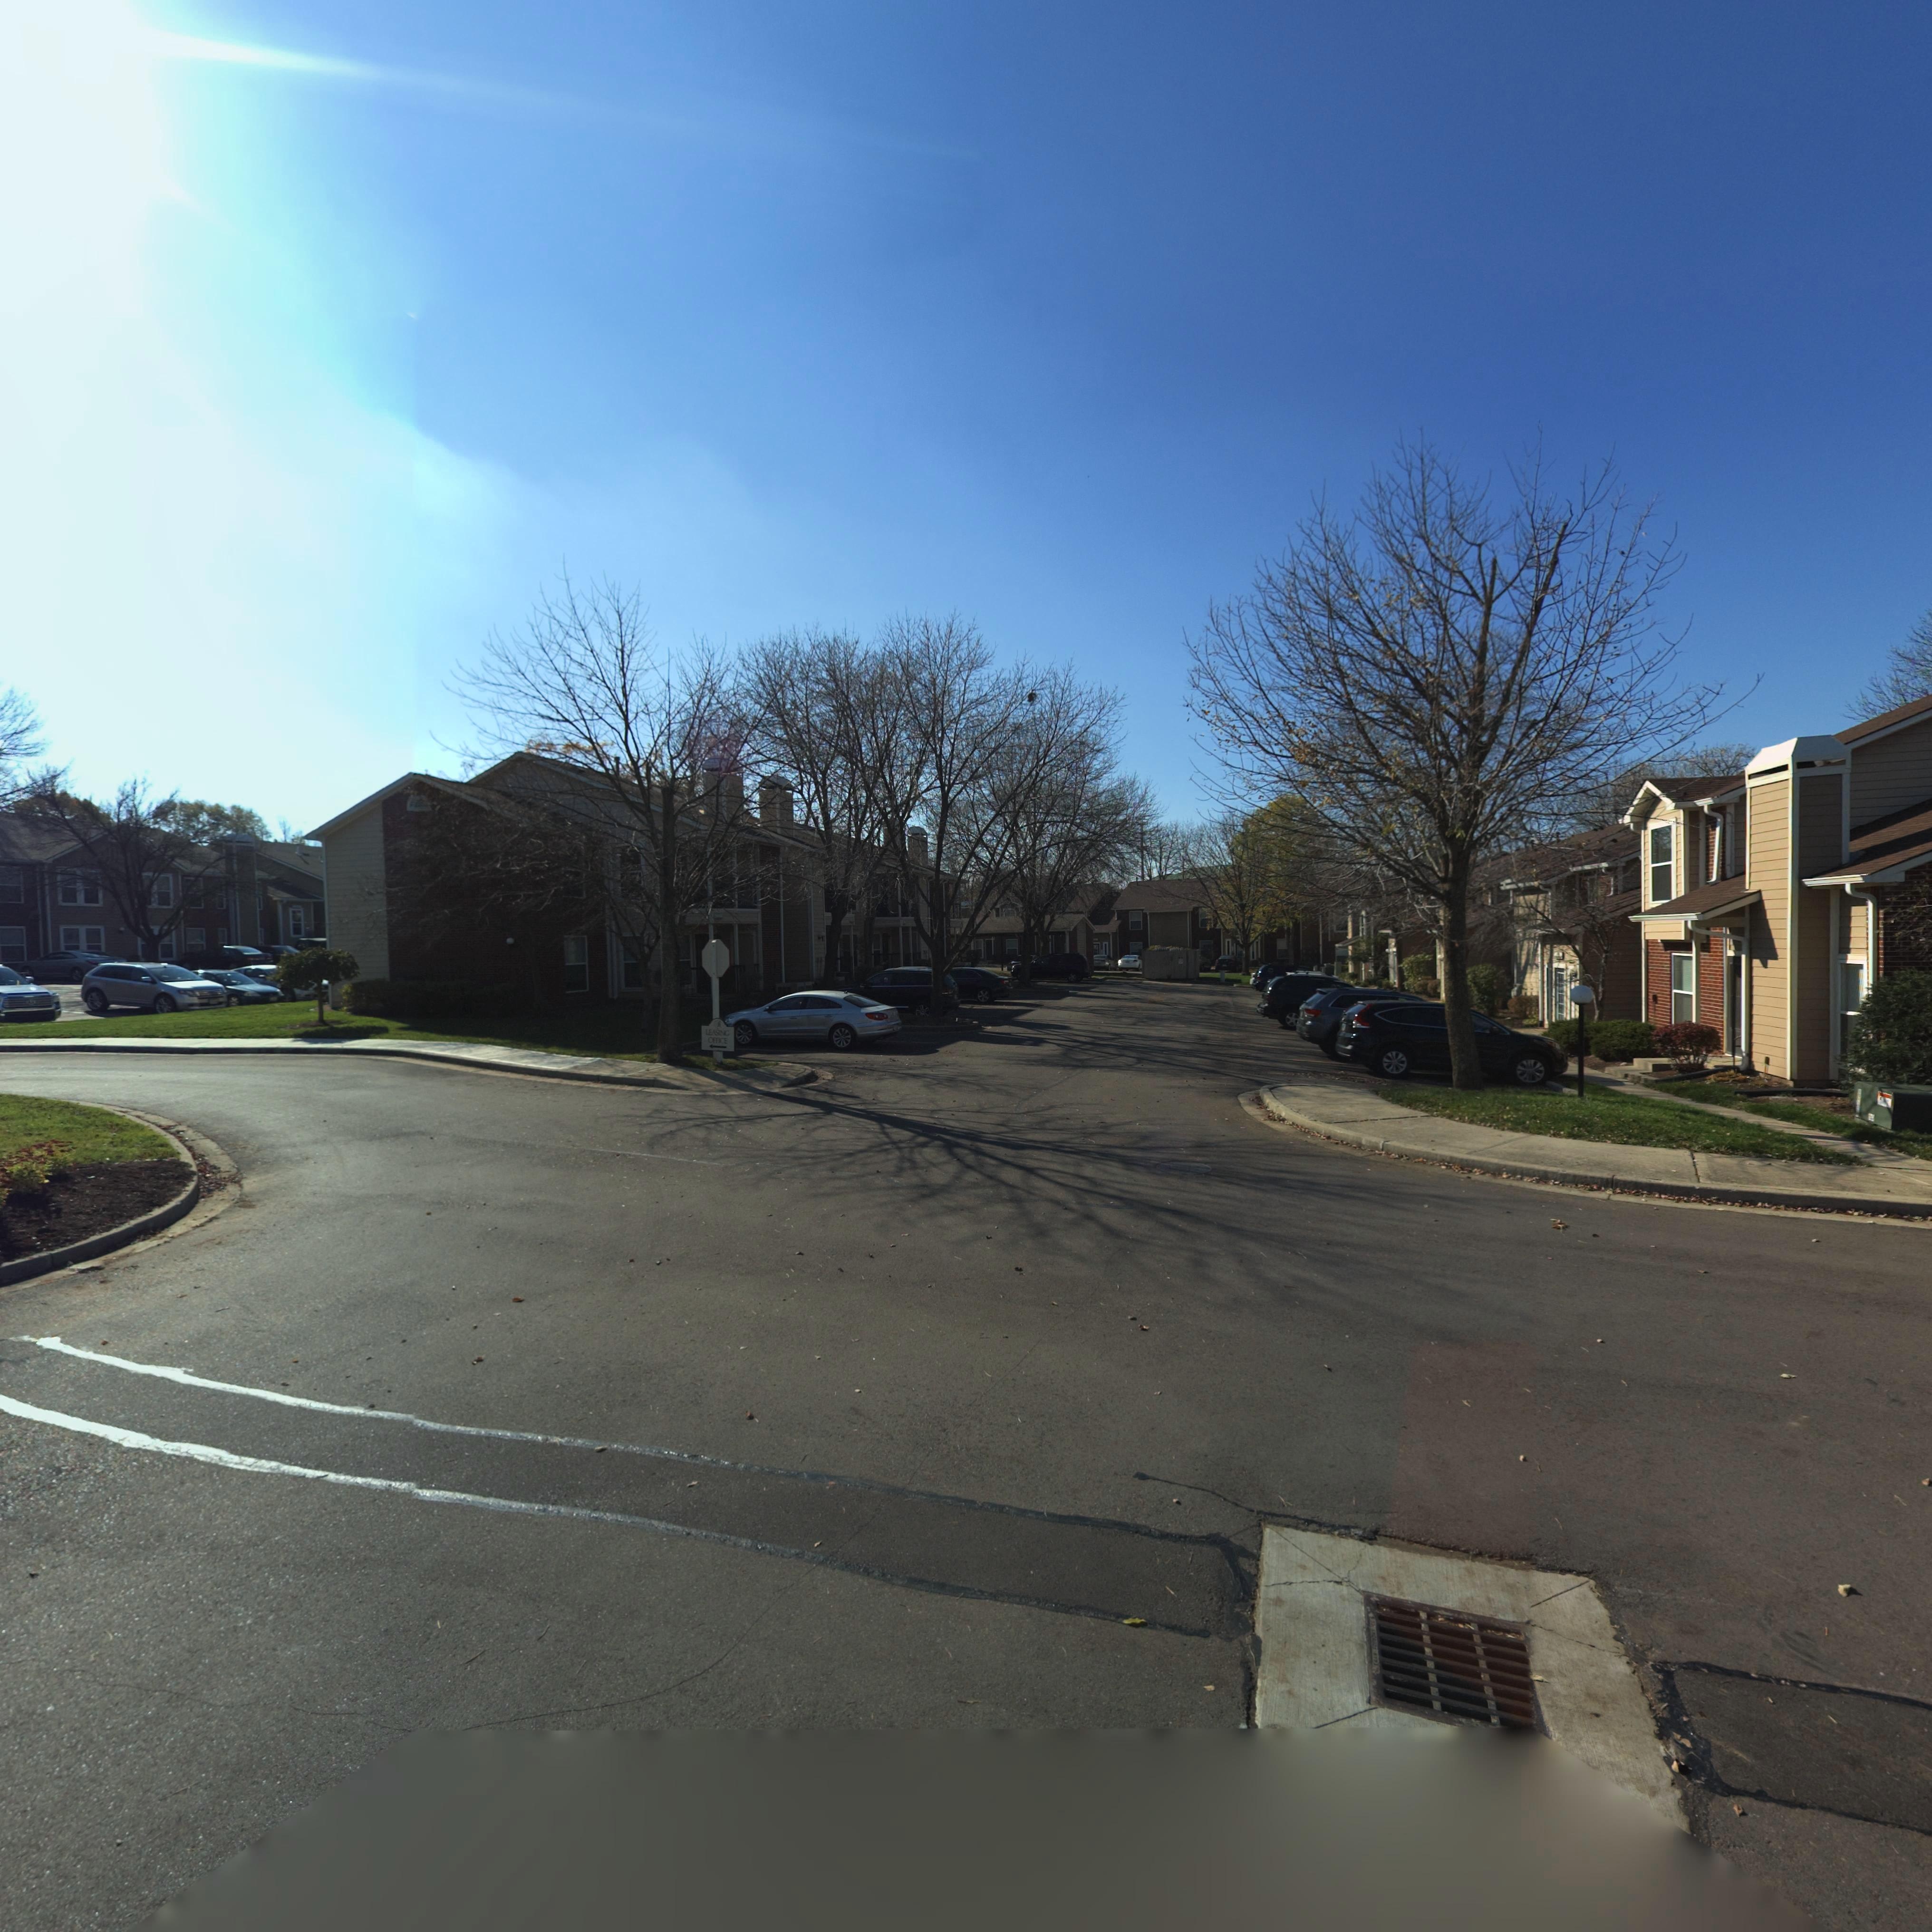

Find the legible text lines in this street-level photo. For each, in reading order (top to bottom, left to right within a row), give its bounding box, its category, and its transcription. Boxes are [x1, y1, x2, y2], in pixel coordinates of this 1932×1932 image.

[705, 1027, 731, 1037] None: LEASING
[707, 1035, 729, 1045] None: OFFICE